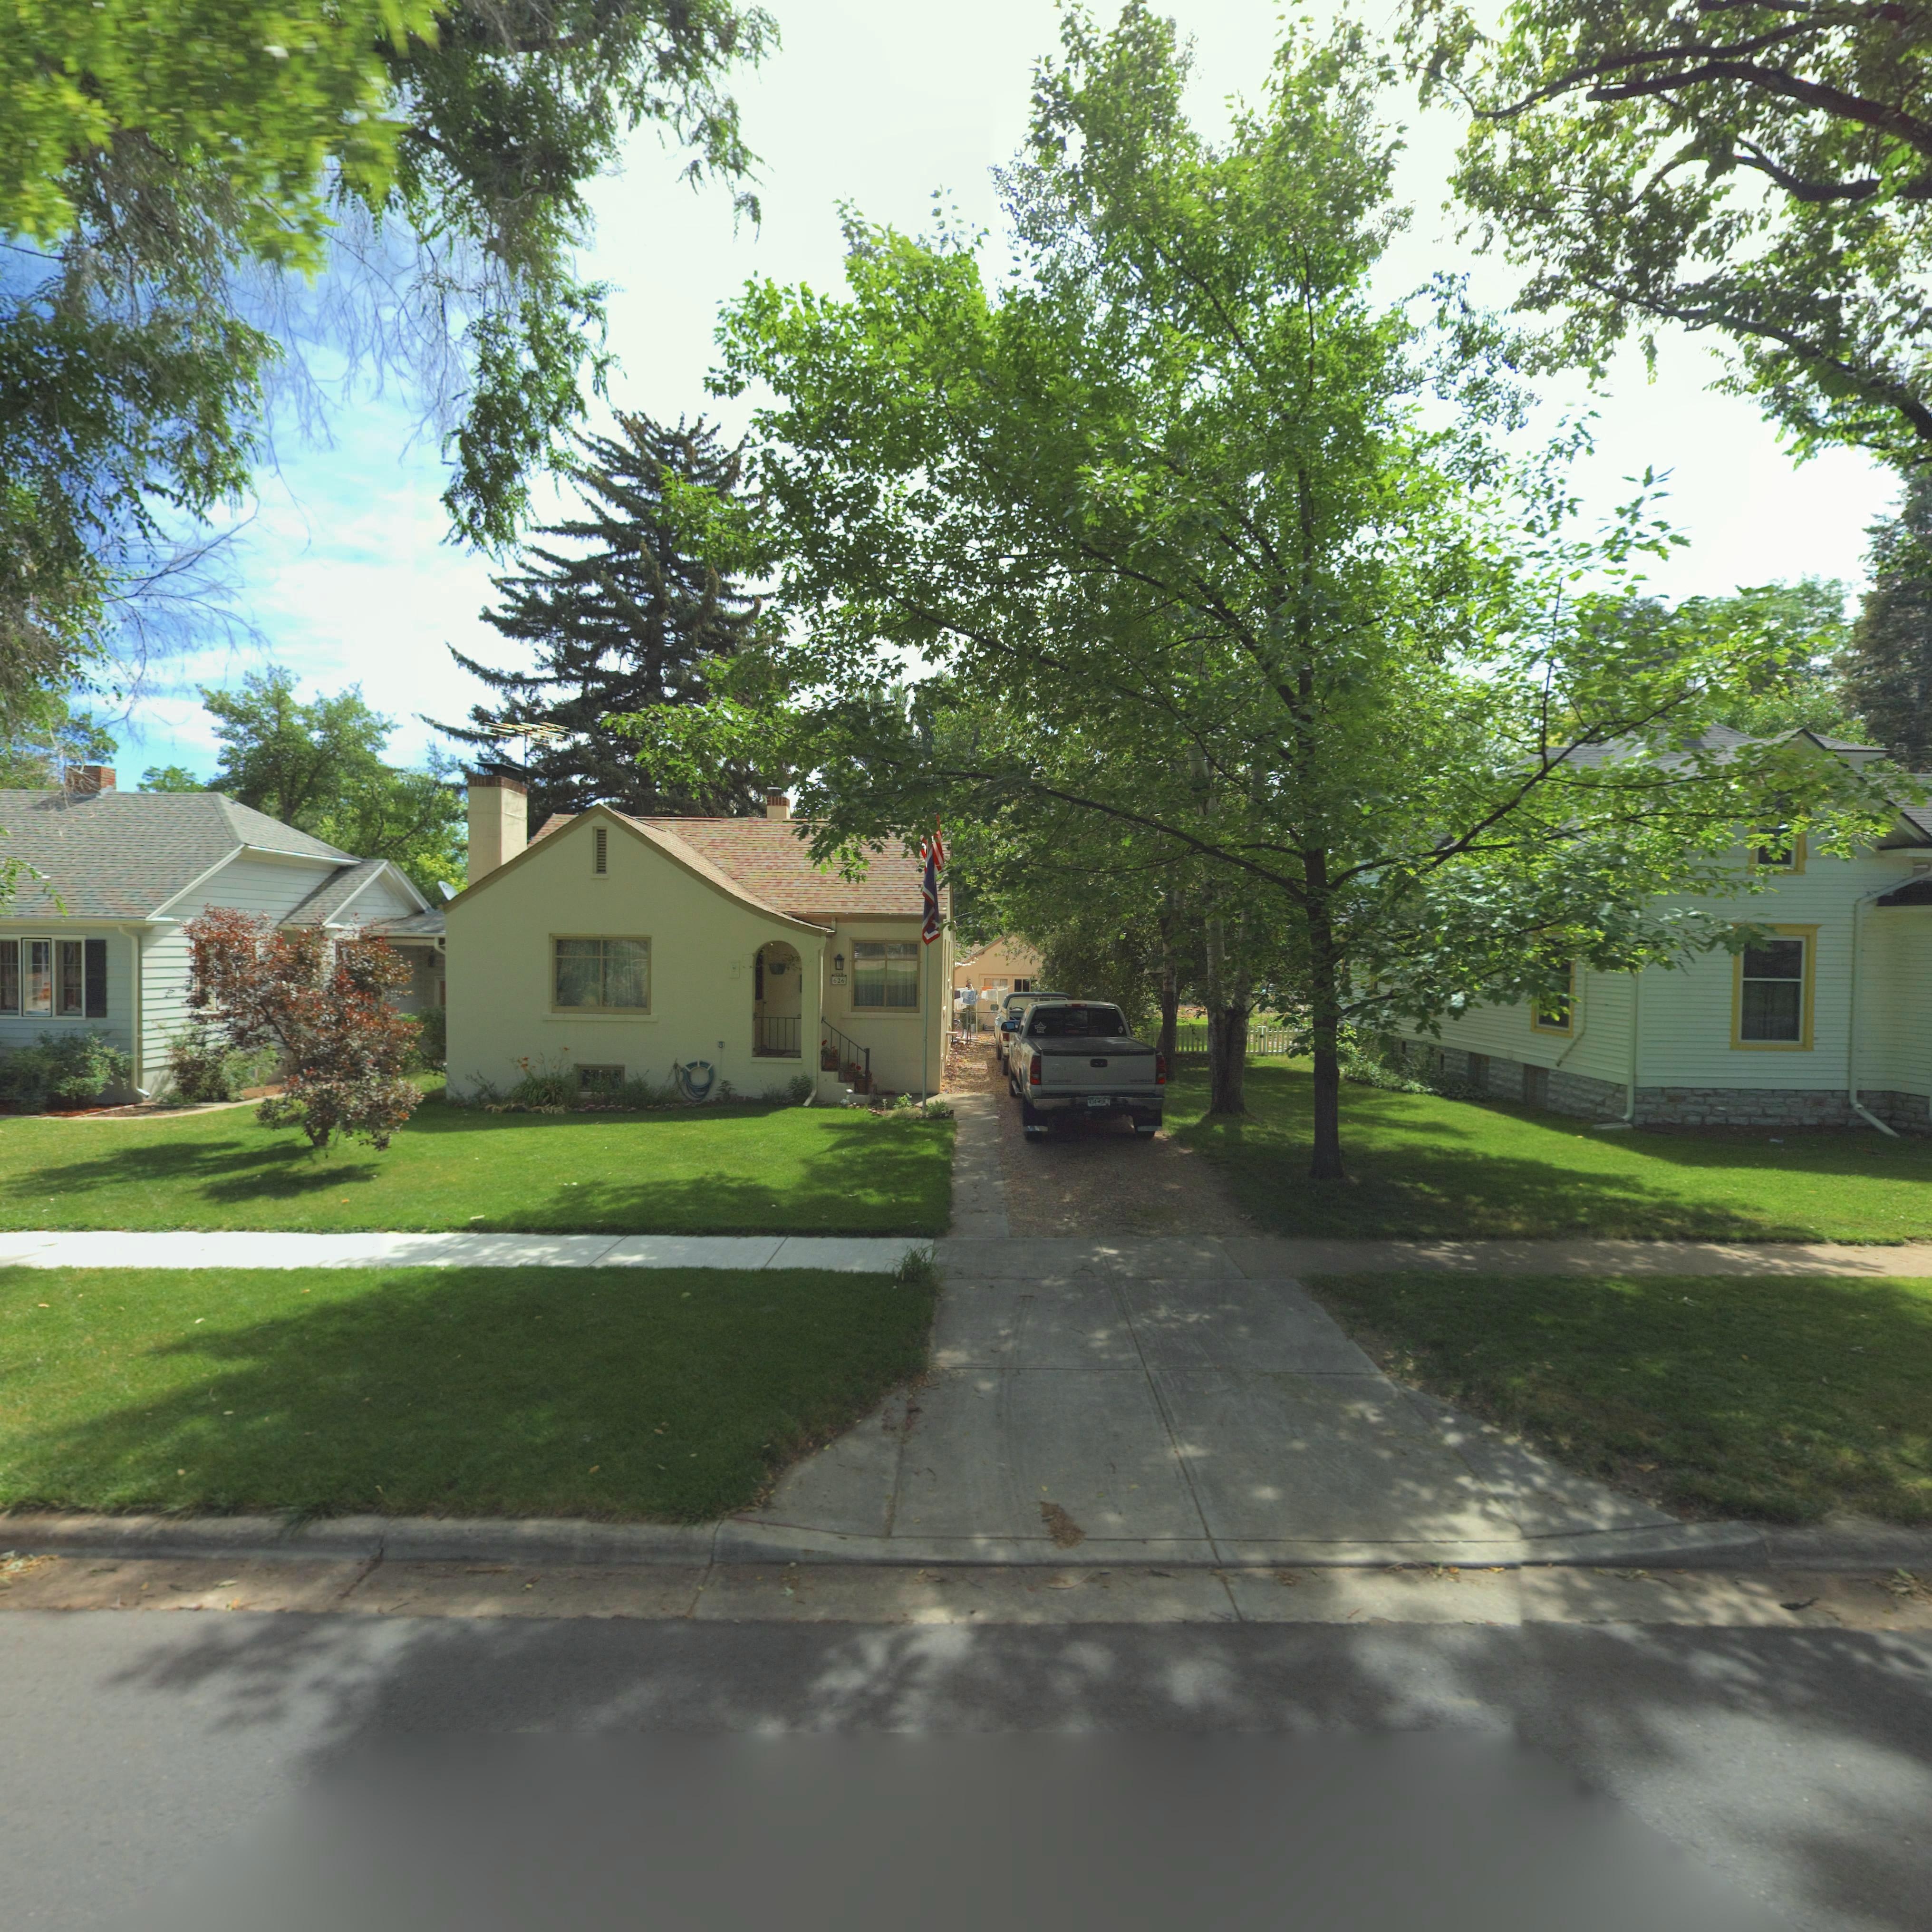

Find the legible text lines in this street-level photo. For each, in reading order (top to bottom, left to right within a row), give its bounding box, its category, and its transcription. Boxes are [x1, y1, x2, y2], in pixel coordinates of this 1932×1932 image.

[833, 977, 845, 984] StreetNumber: 626